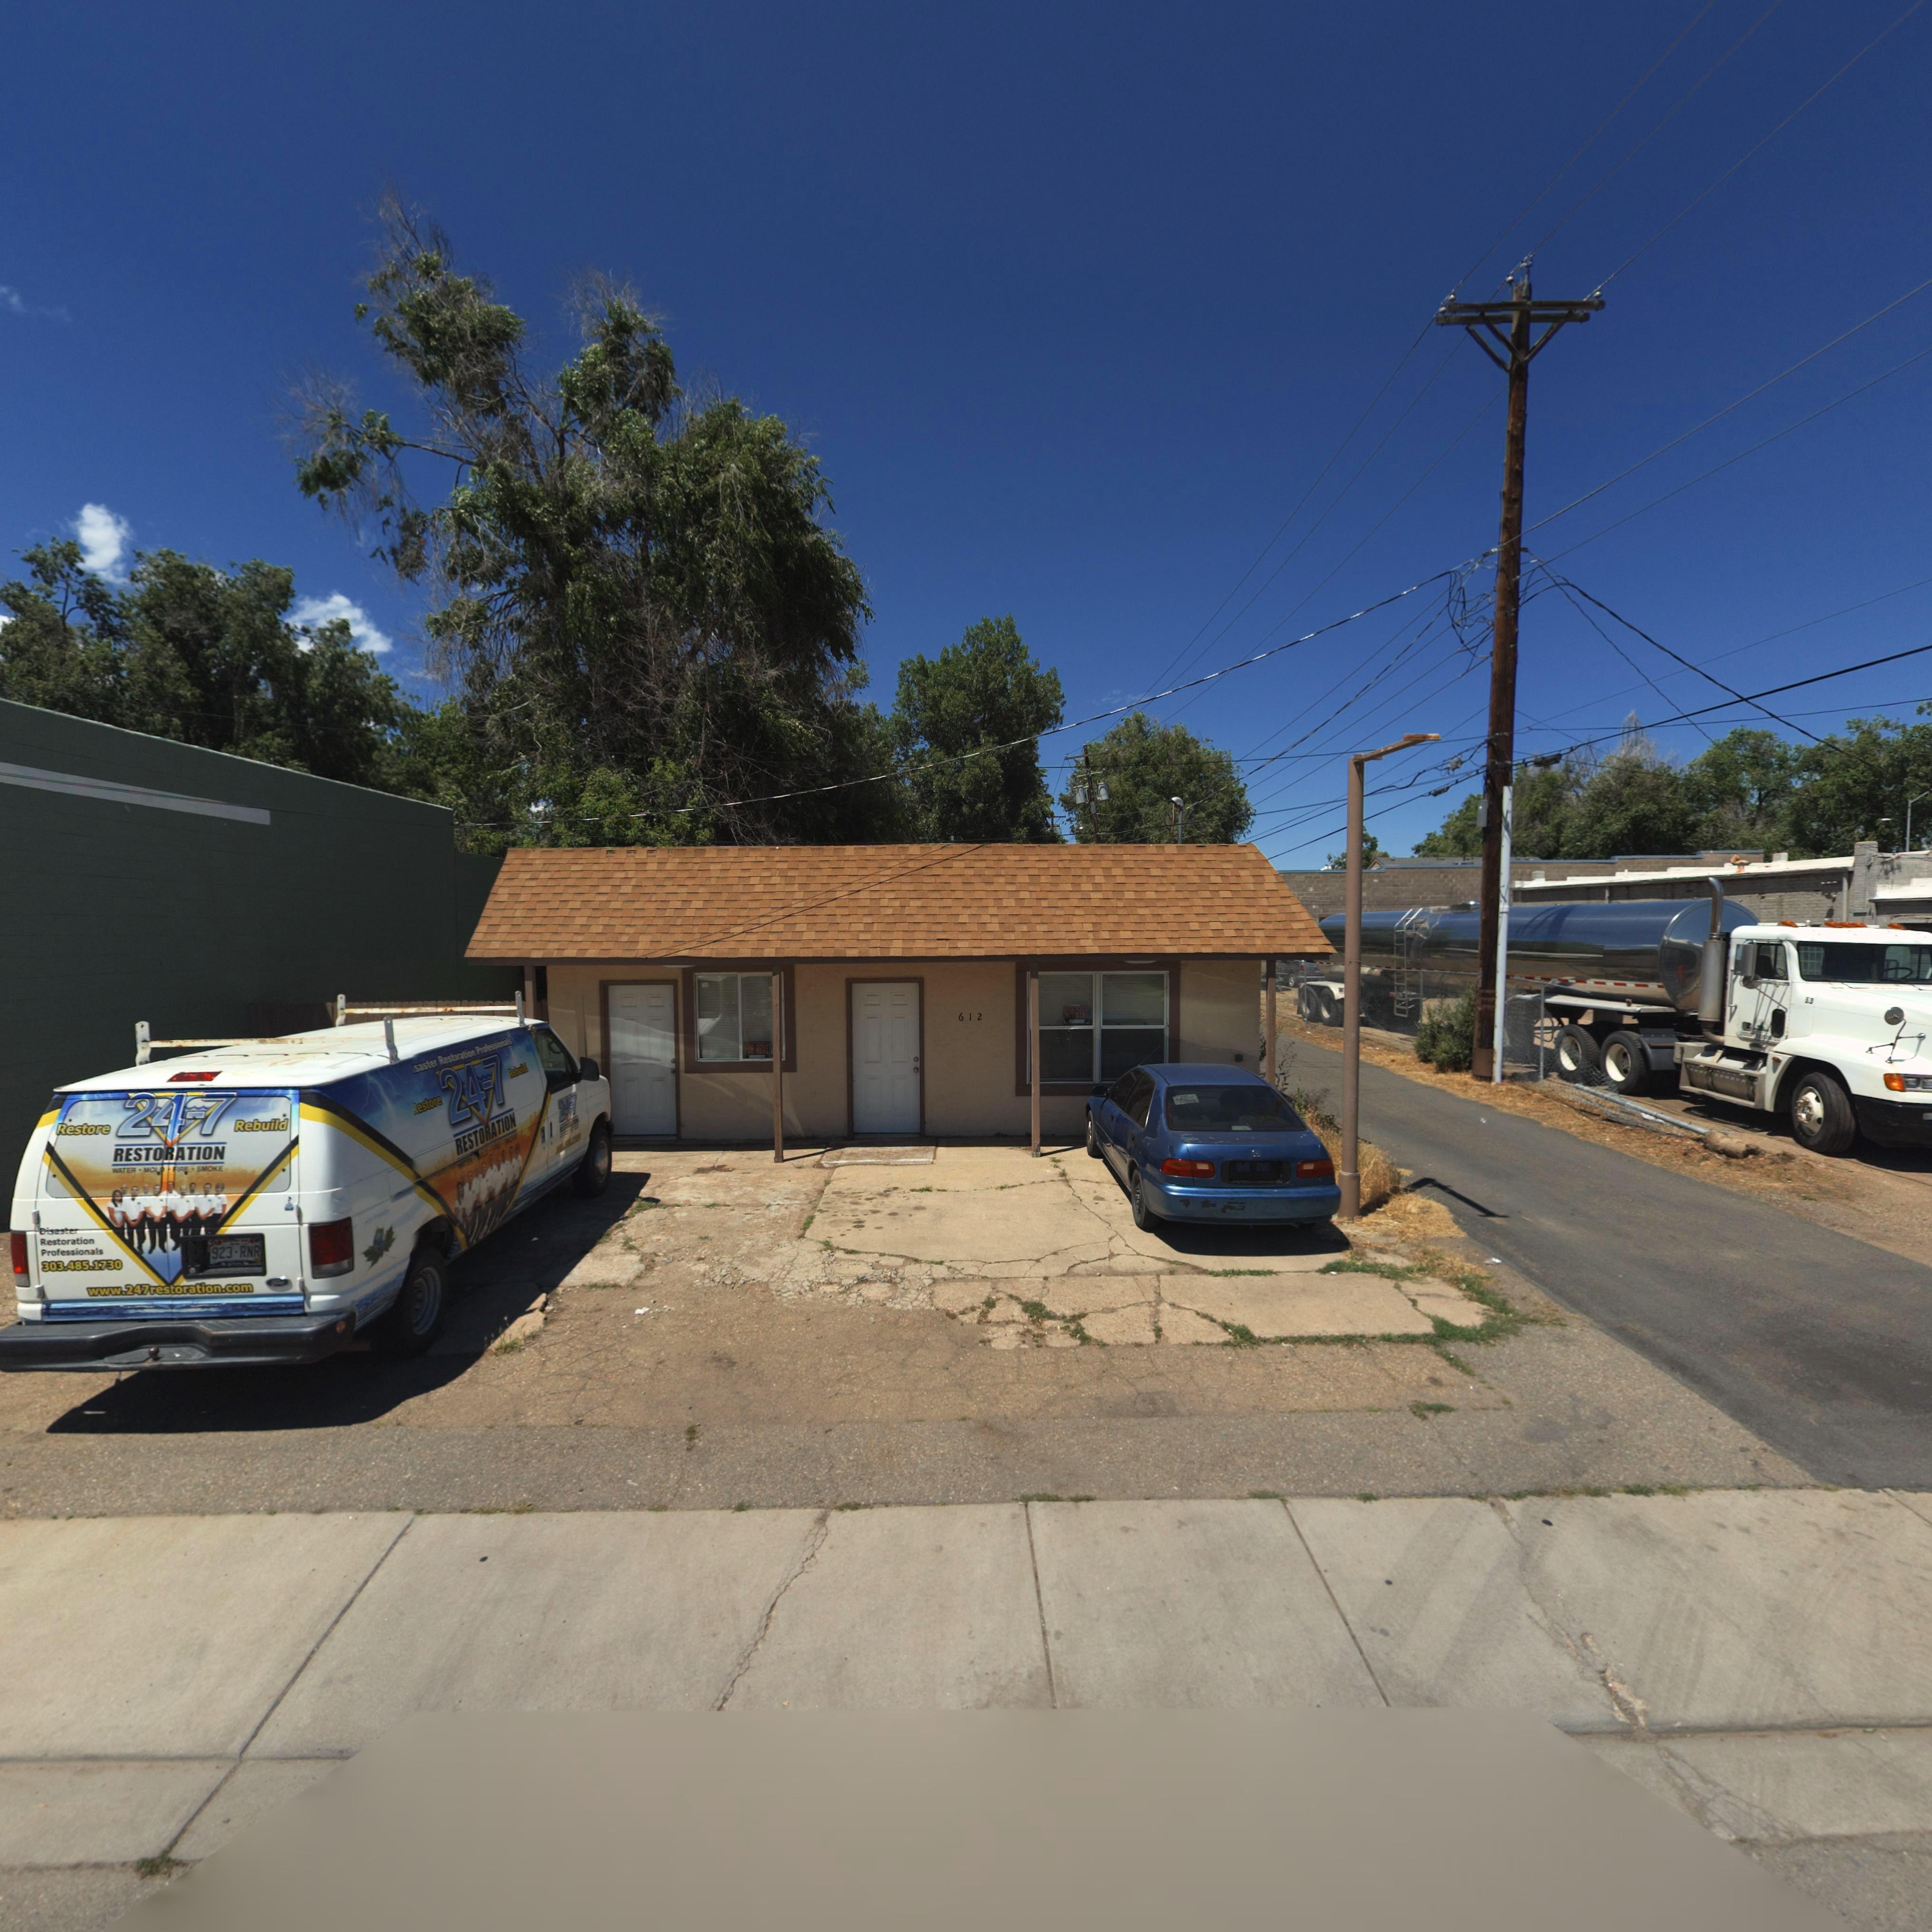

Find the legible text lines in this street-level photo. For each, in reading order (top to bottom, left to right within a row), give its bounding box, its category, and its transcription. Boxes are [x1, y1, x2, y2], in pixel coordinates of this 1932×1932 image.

[958, 1011, 982, 1021] StreetNumber: 612